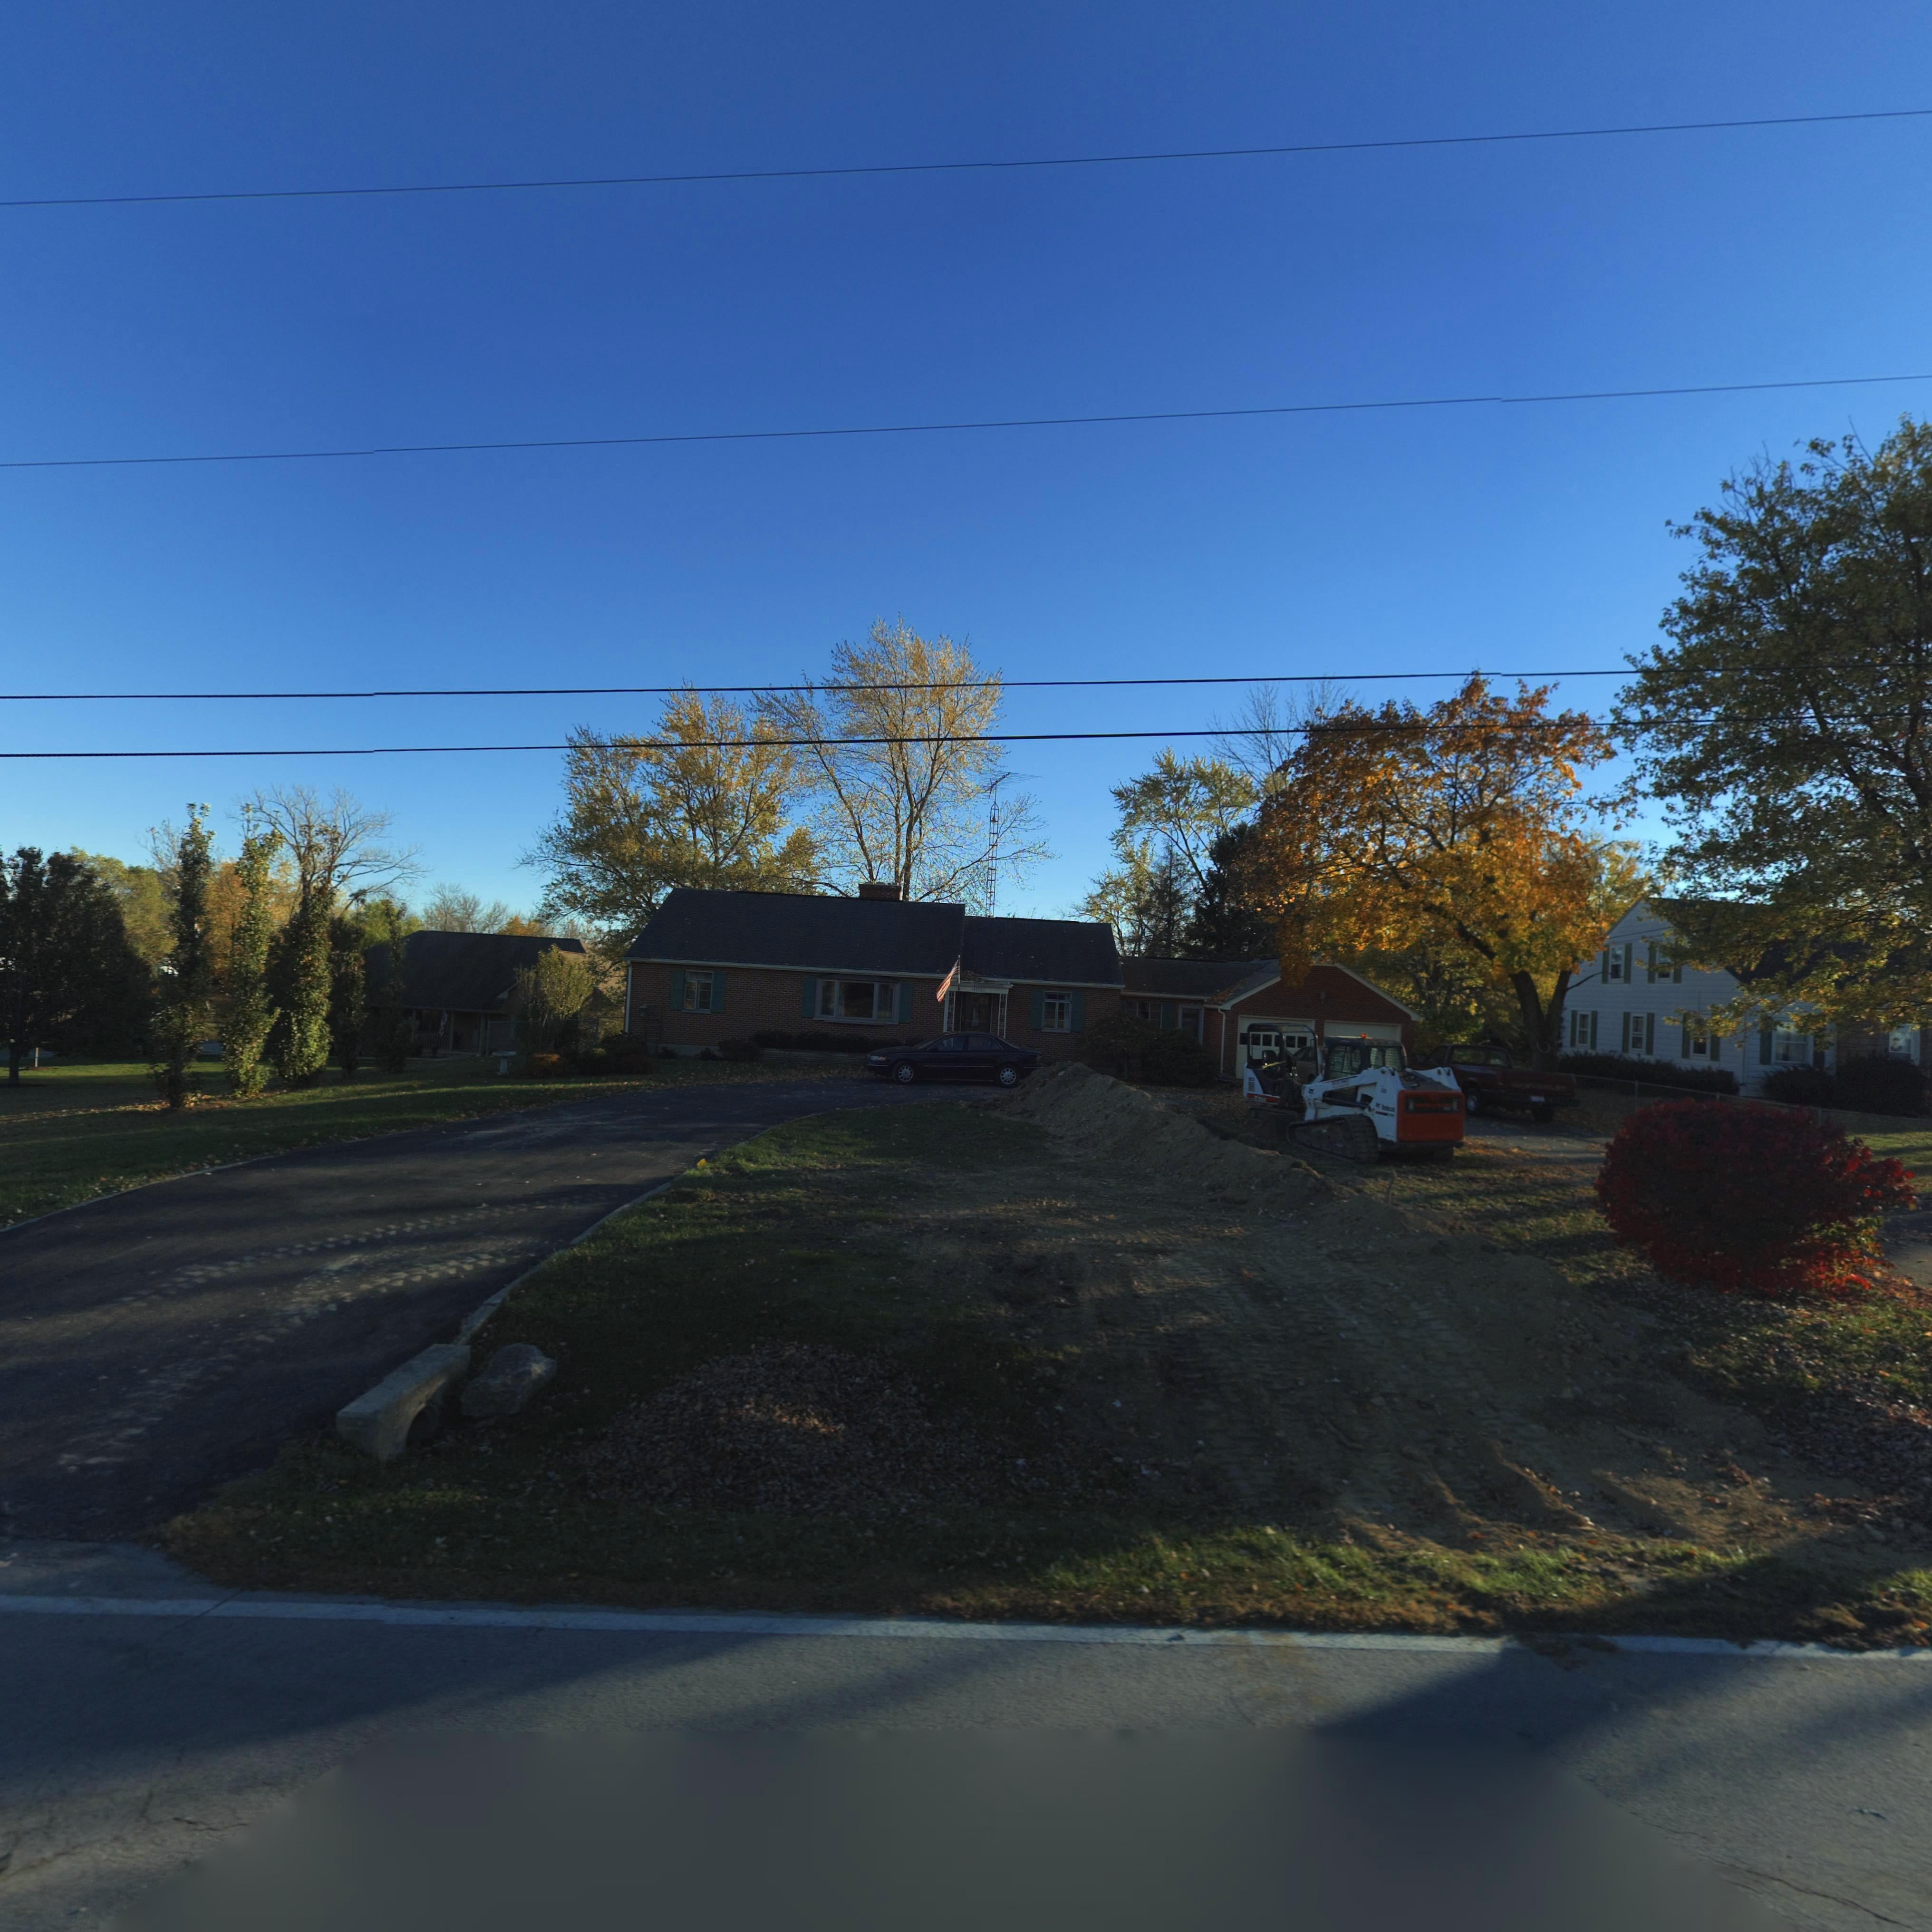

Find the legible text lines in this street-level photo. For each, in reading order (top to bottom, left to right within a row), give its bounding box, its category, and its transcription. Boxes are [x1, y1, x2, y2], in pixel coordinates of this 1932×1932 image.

[973, 987, 983, 992] StreetNumber: 5**2